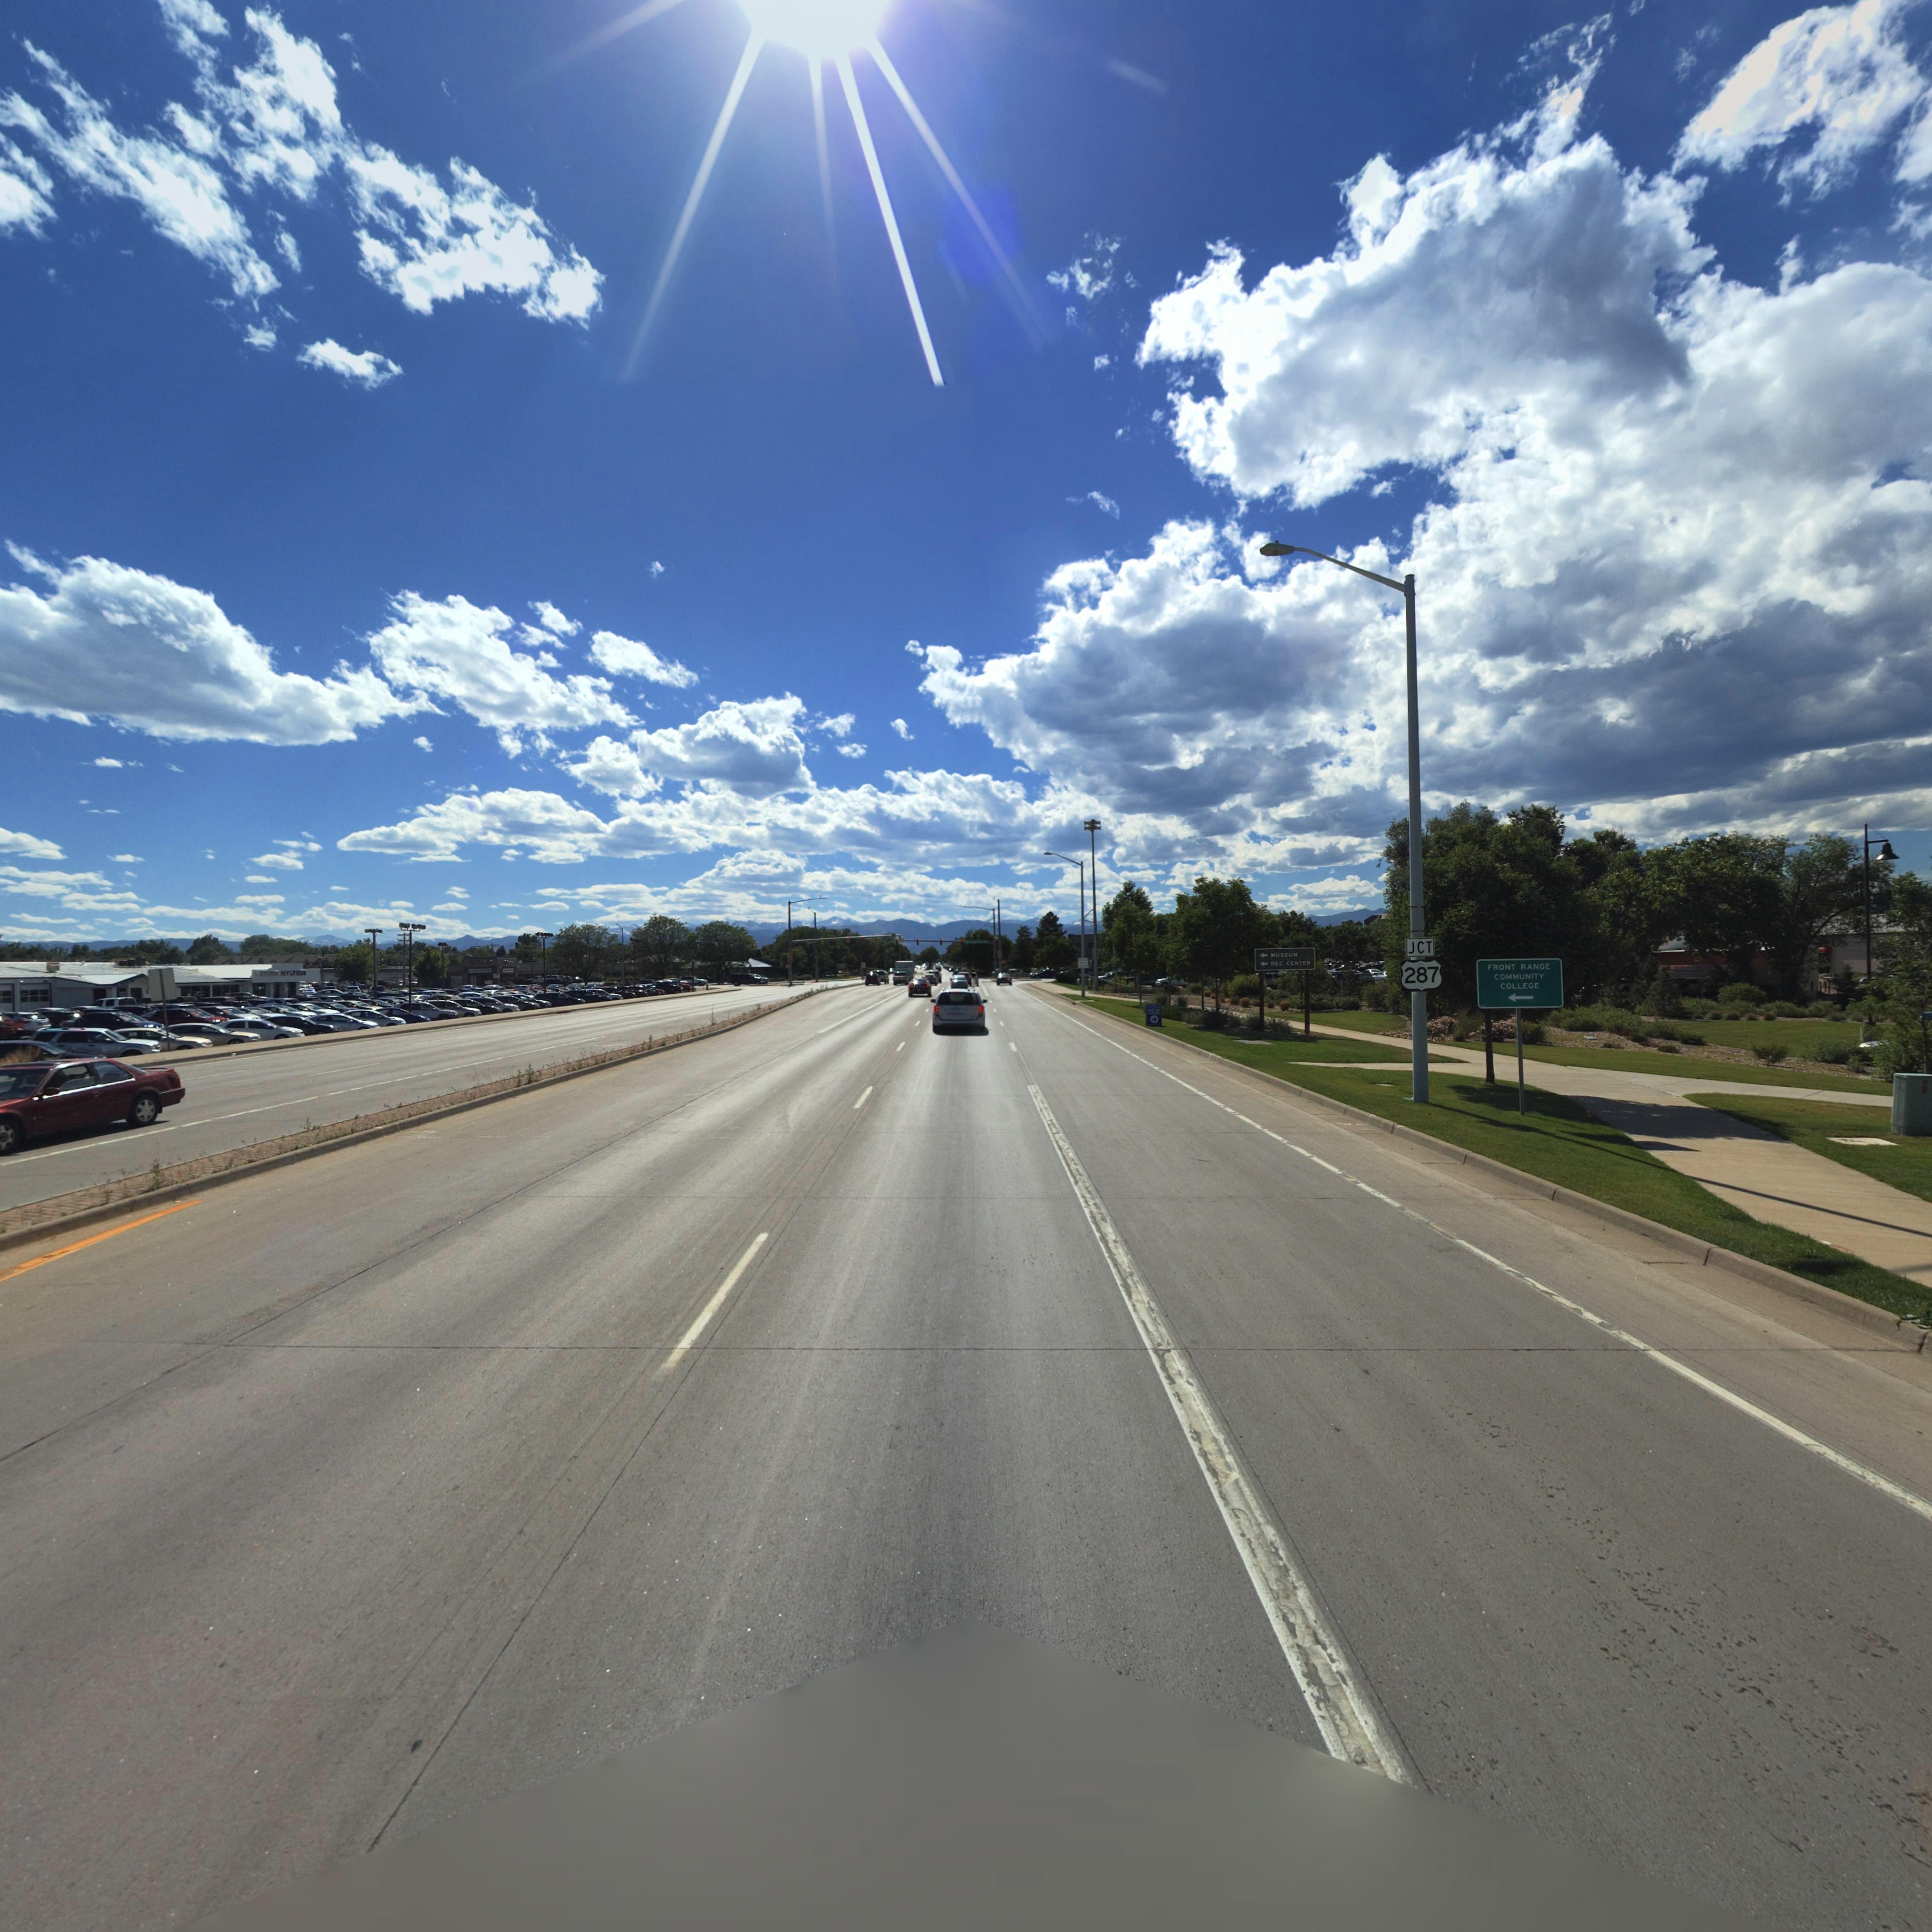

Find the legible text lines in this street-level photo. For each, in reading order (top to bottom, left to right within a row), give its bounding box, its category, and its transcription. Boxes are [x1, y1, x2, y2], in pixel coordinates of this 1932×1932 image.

[281, 970, 307, 976] BusinessName: HYUNDA*